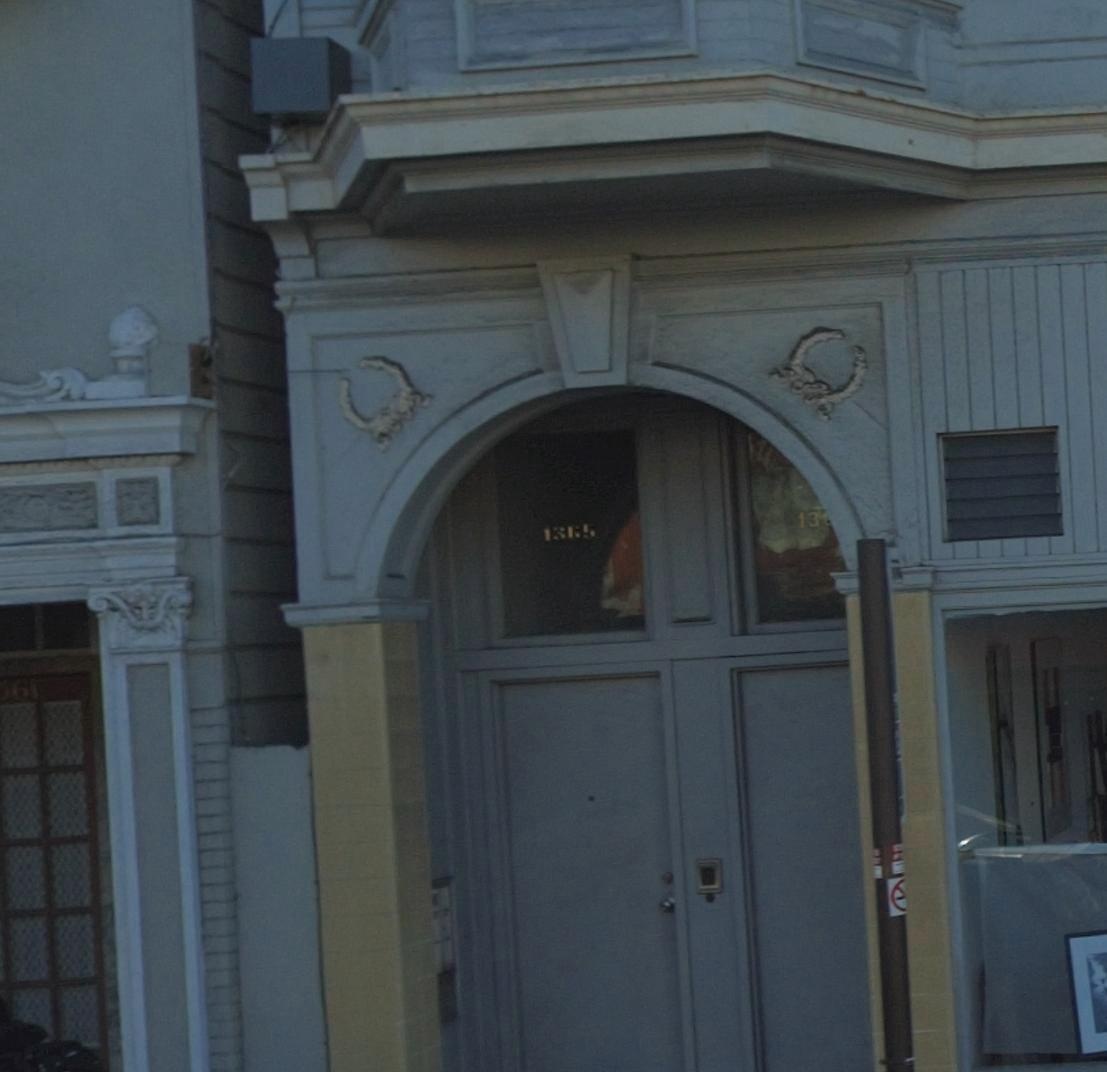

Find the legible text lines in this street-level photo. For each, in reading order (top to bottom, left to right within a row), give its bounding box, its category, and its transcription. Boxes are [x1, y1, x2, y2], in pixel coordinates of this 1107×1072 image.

[541, 521, 598, 545] StreetNumber: 1365
[794, 511, 836, 531] StreetNumber: 13*